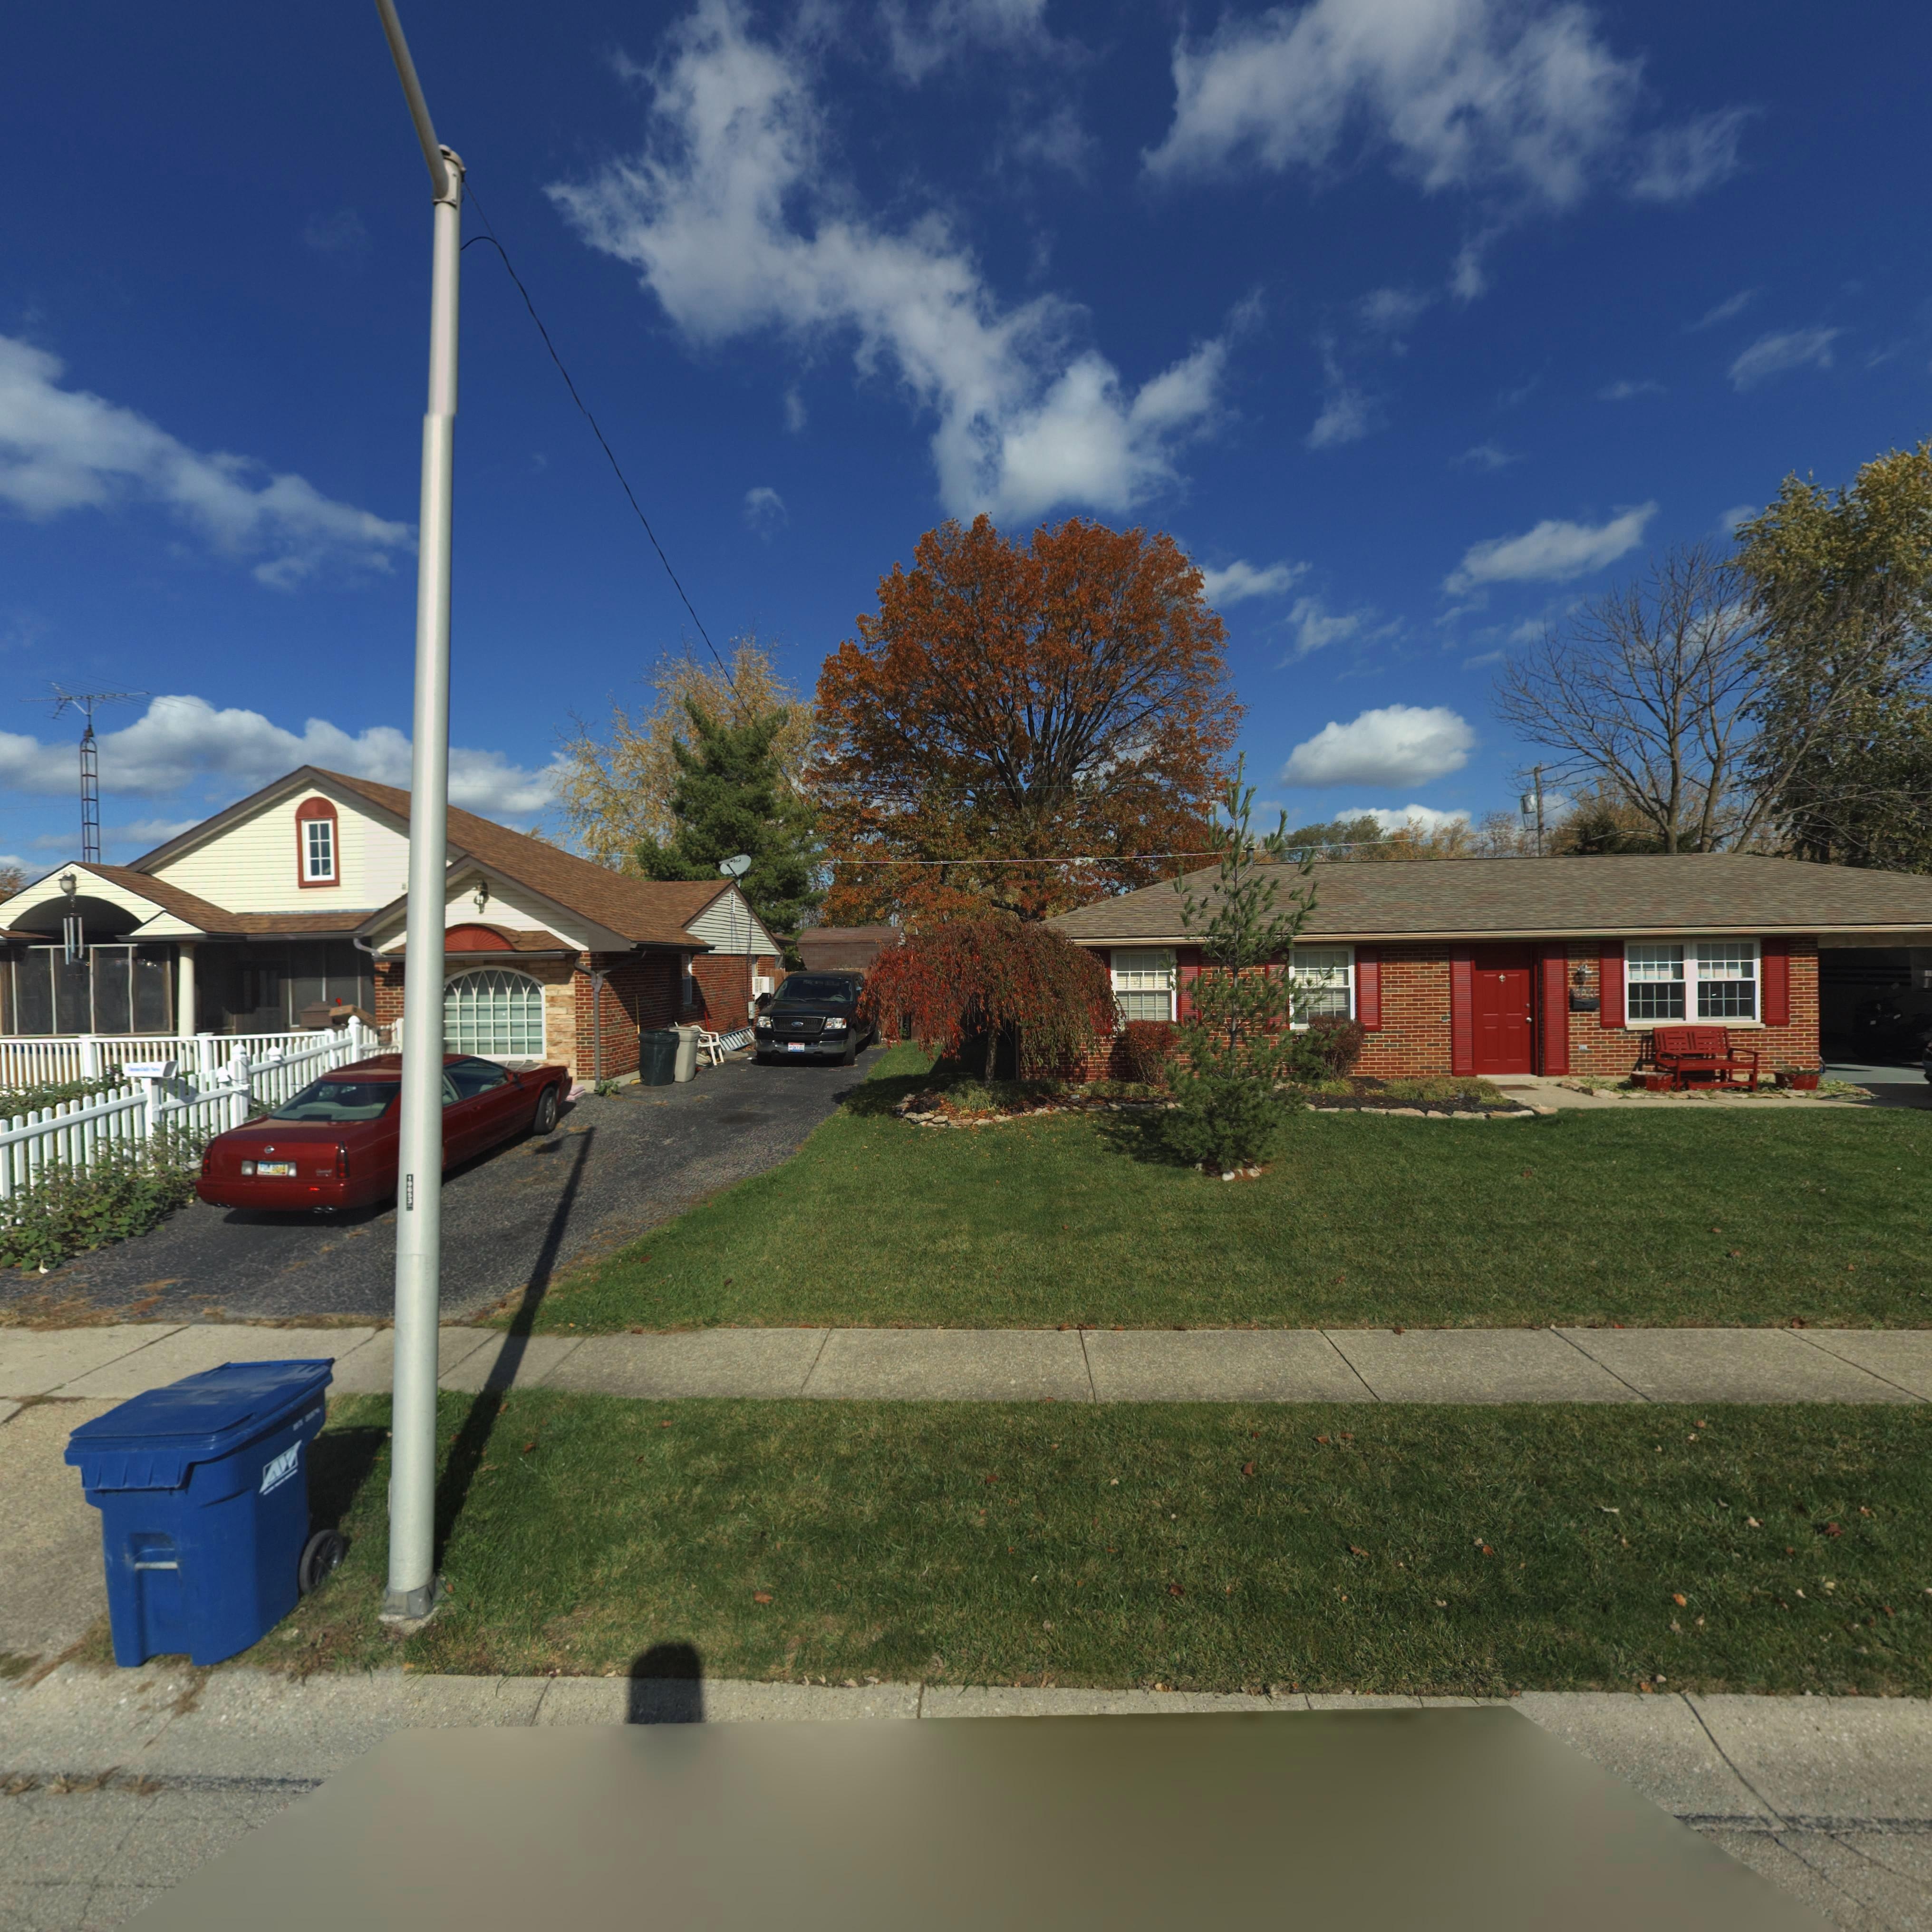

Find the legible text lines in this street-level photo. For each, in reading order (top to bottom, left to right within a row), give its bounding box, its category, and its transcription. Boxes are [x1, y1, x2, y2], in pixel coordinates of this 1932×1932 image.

[1578, 986, 1597, 997] StreetNumber: 731